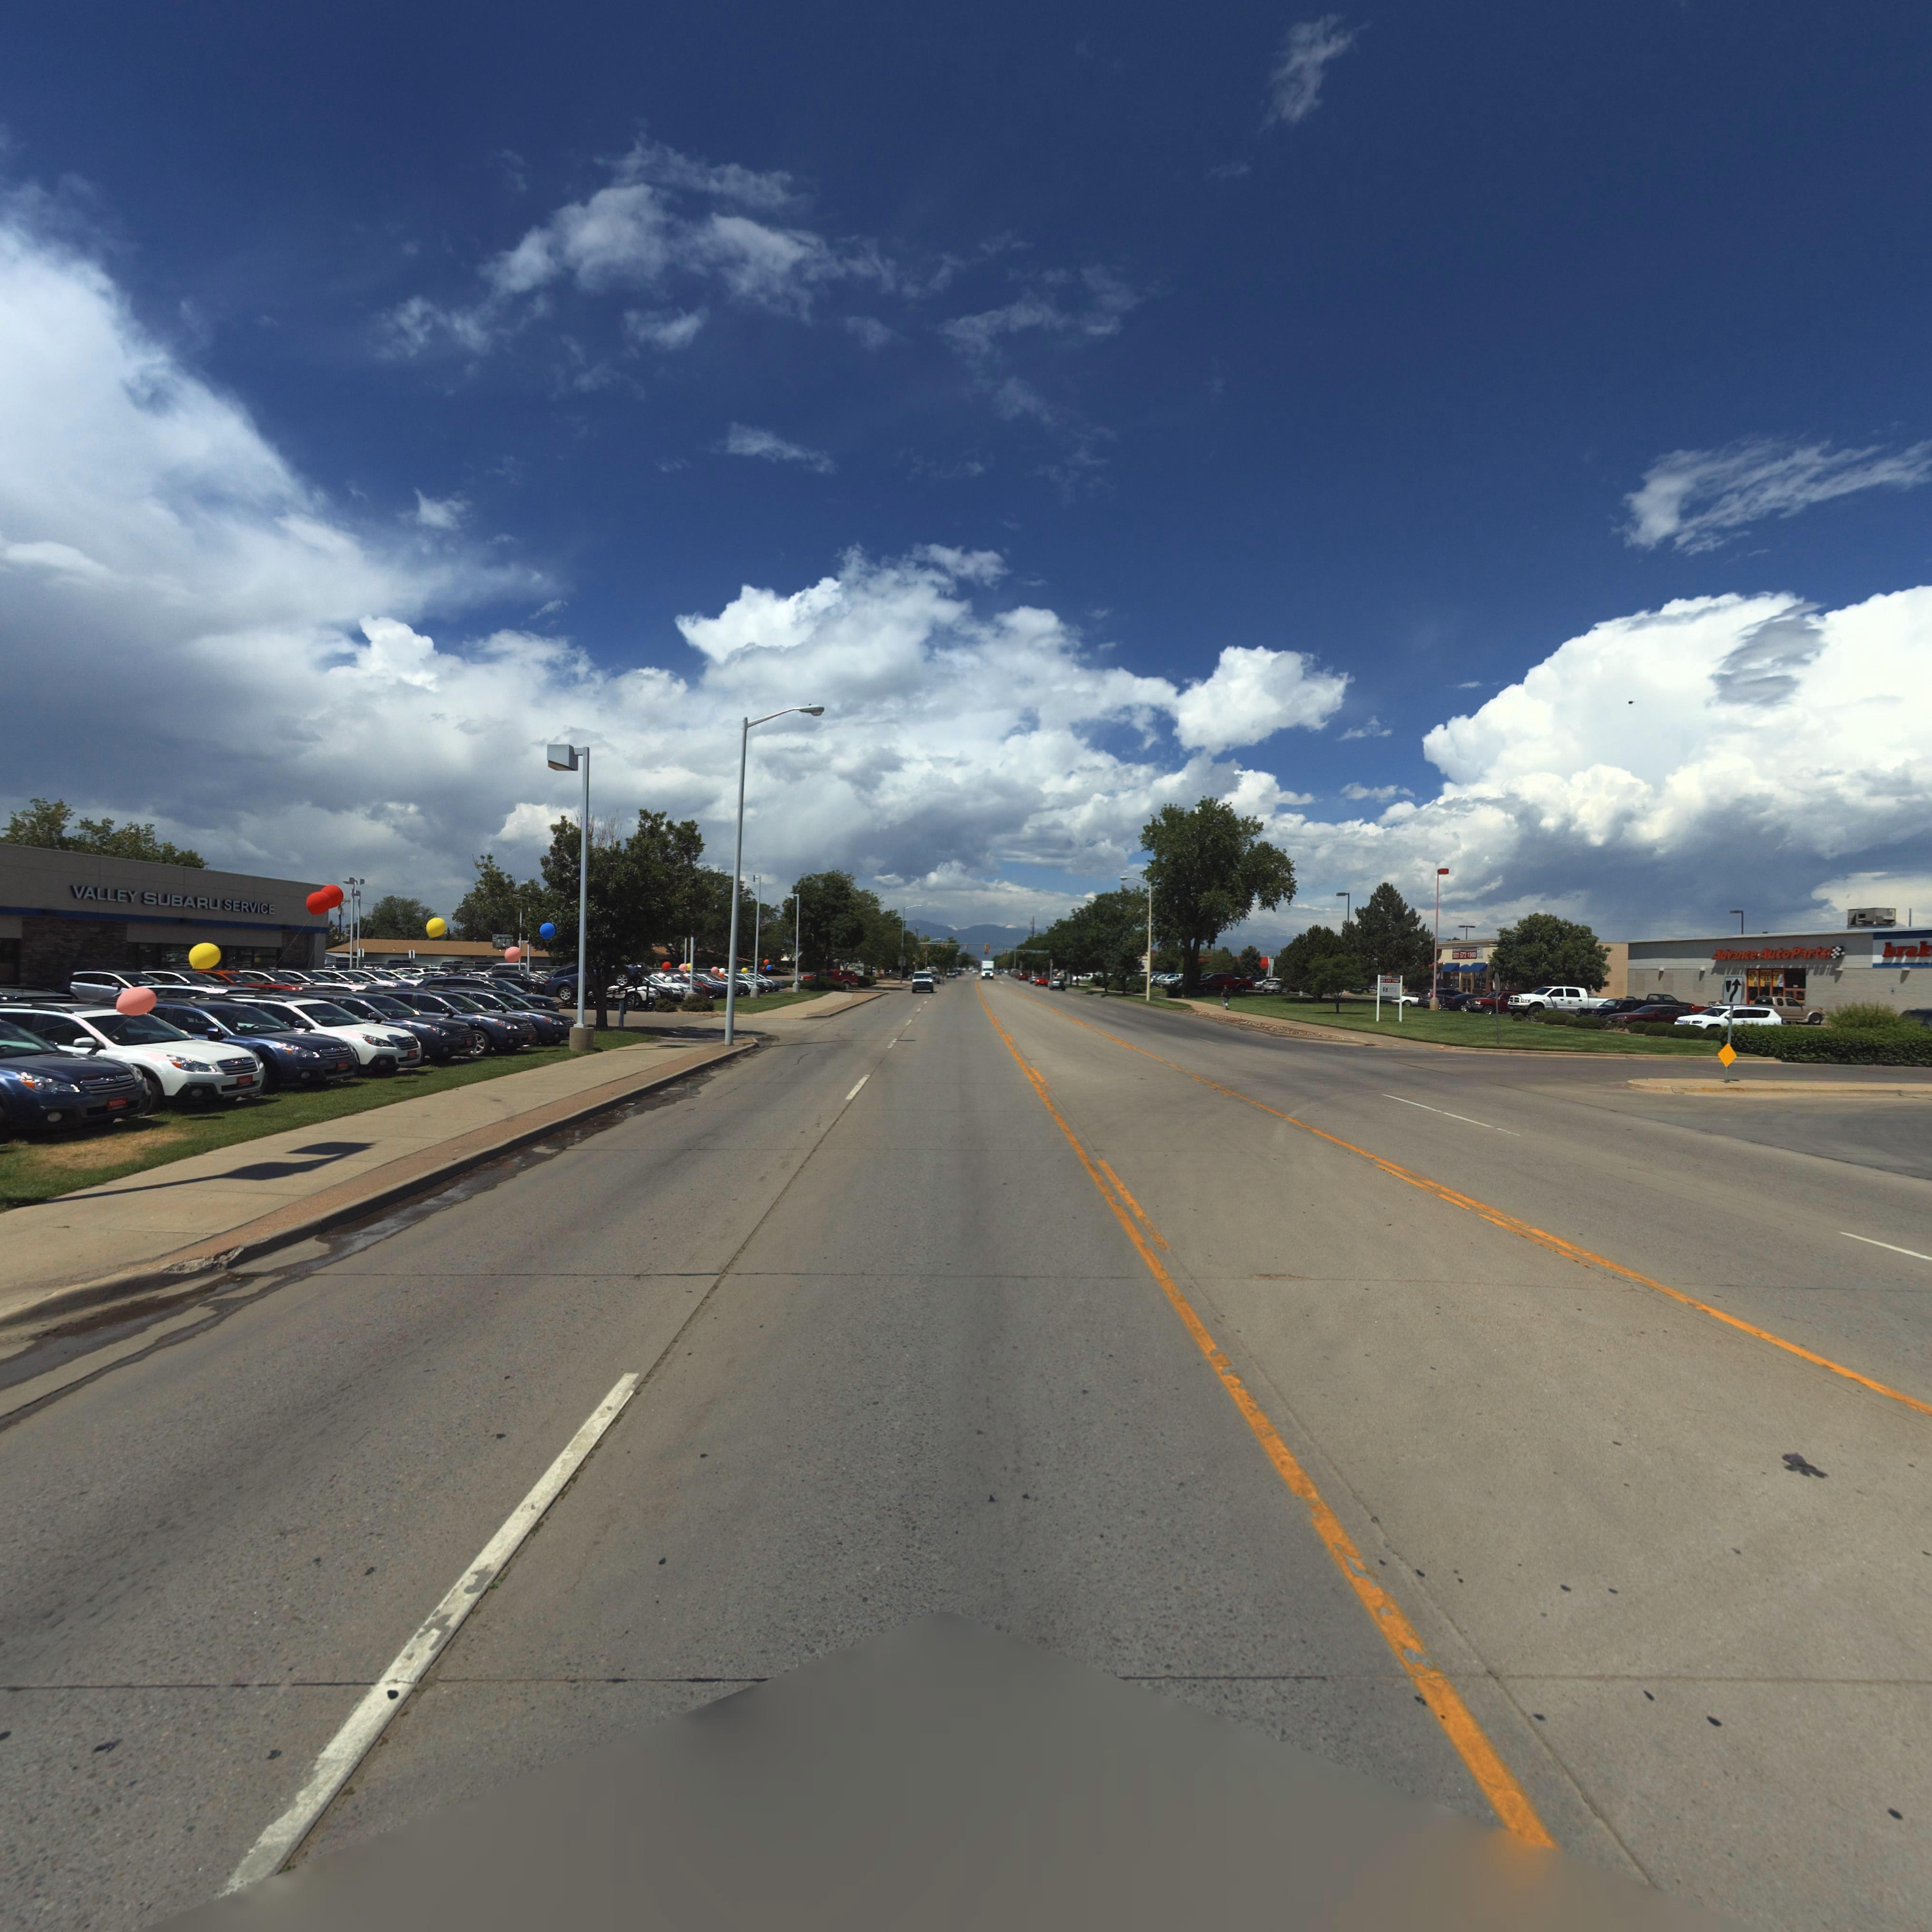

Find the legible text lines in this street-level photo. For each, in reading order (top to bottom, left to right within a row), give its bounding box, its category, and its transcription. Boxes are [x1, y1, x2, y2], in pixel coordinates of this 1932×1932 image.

[72, 884, 276, 915] BusinessName: VALLEY SUBARU SERVICE
[1711, 946, 1828, 960] BusinessName: Advance AutoParts
[1882, 940, 1932, 957] BusinessName: brak